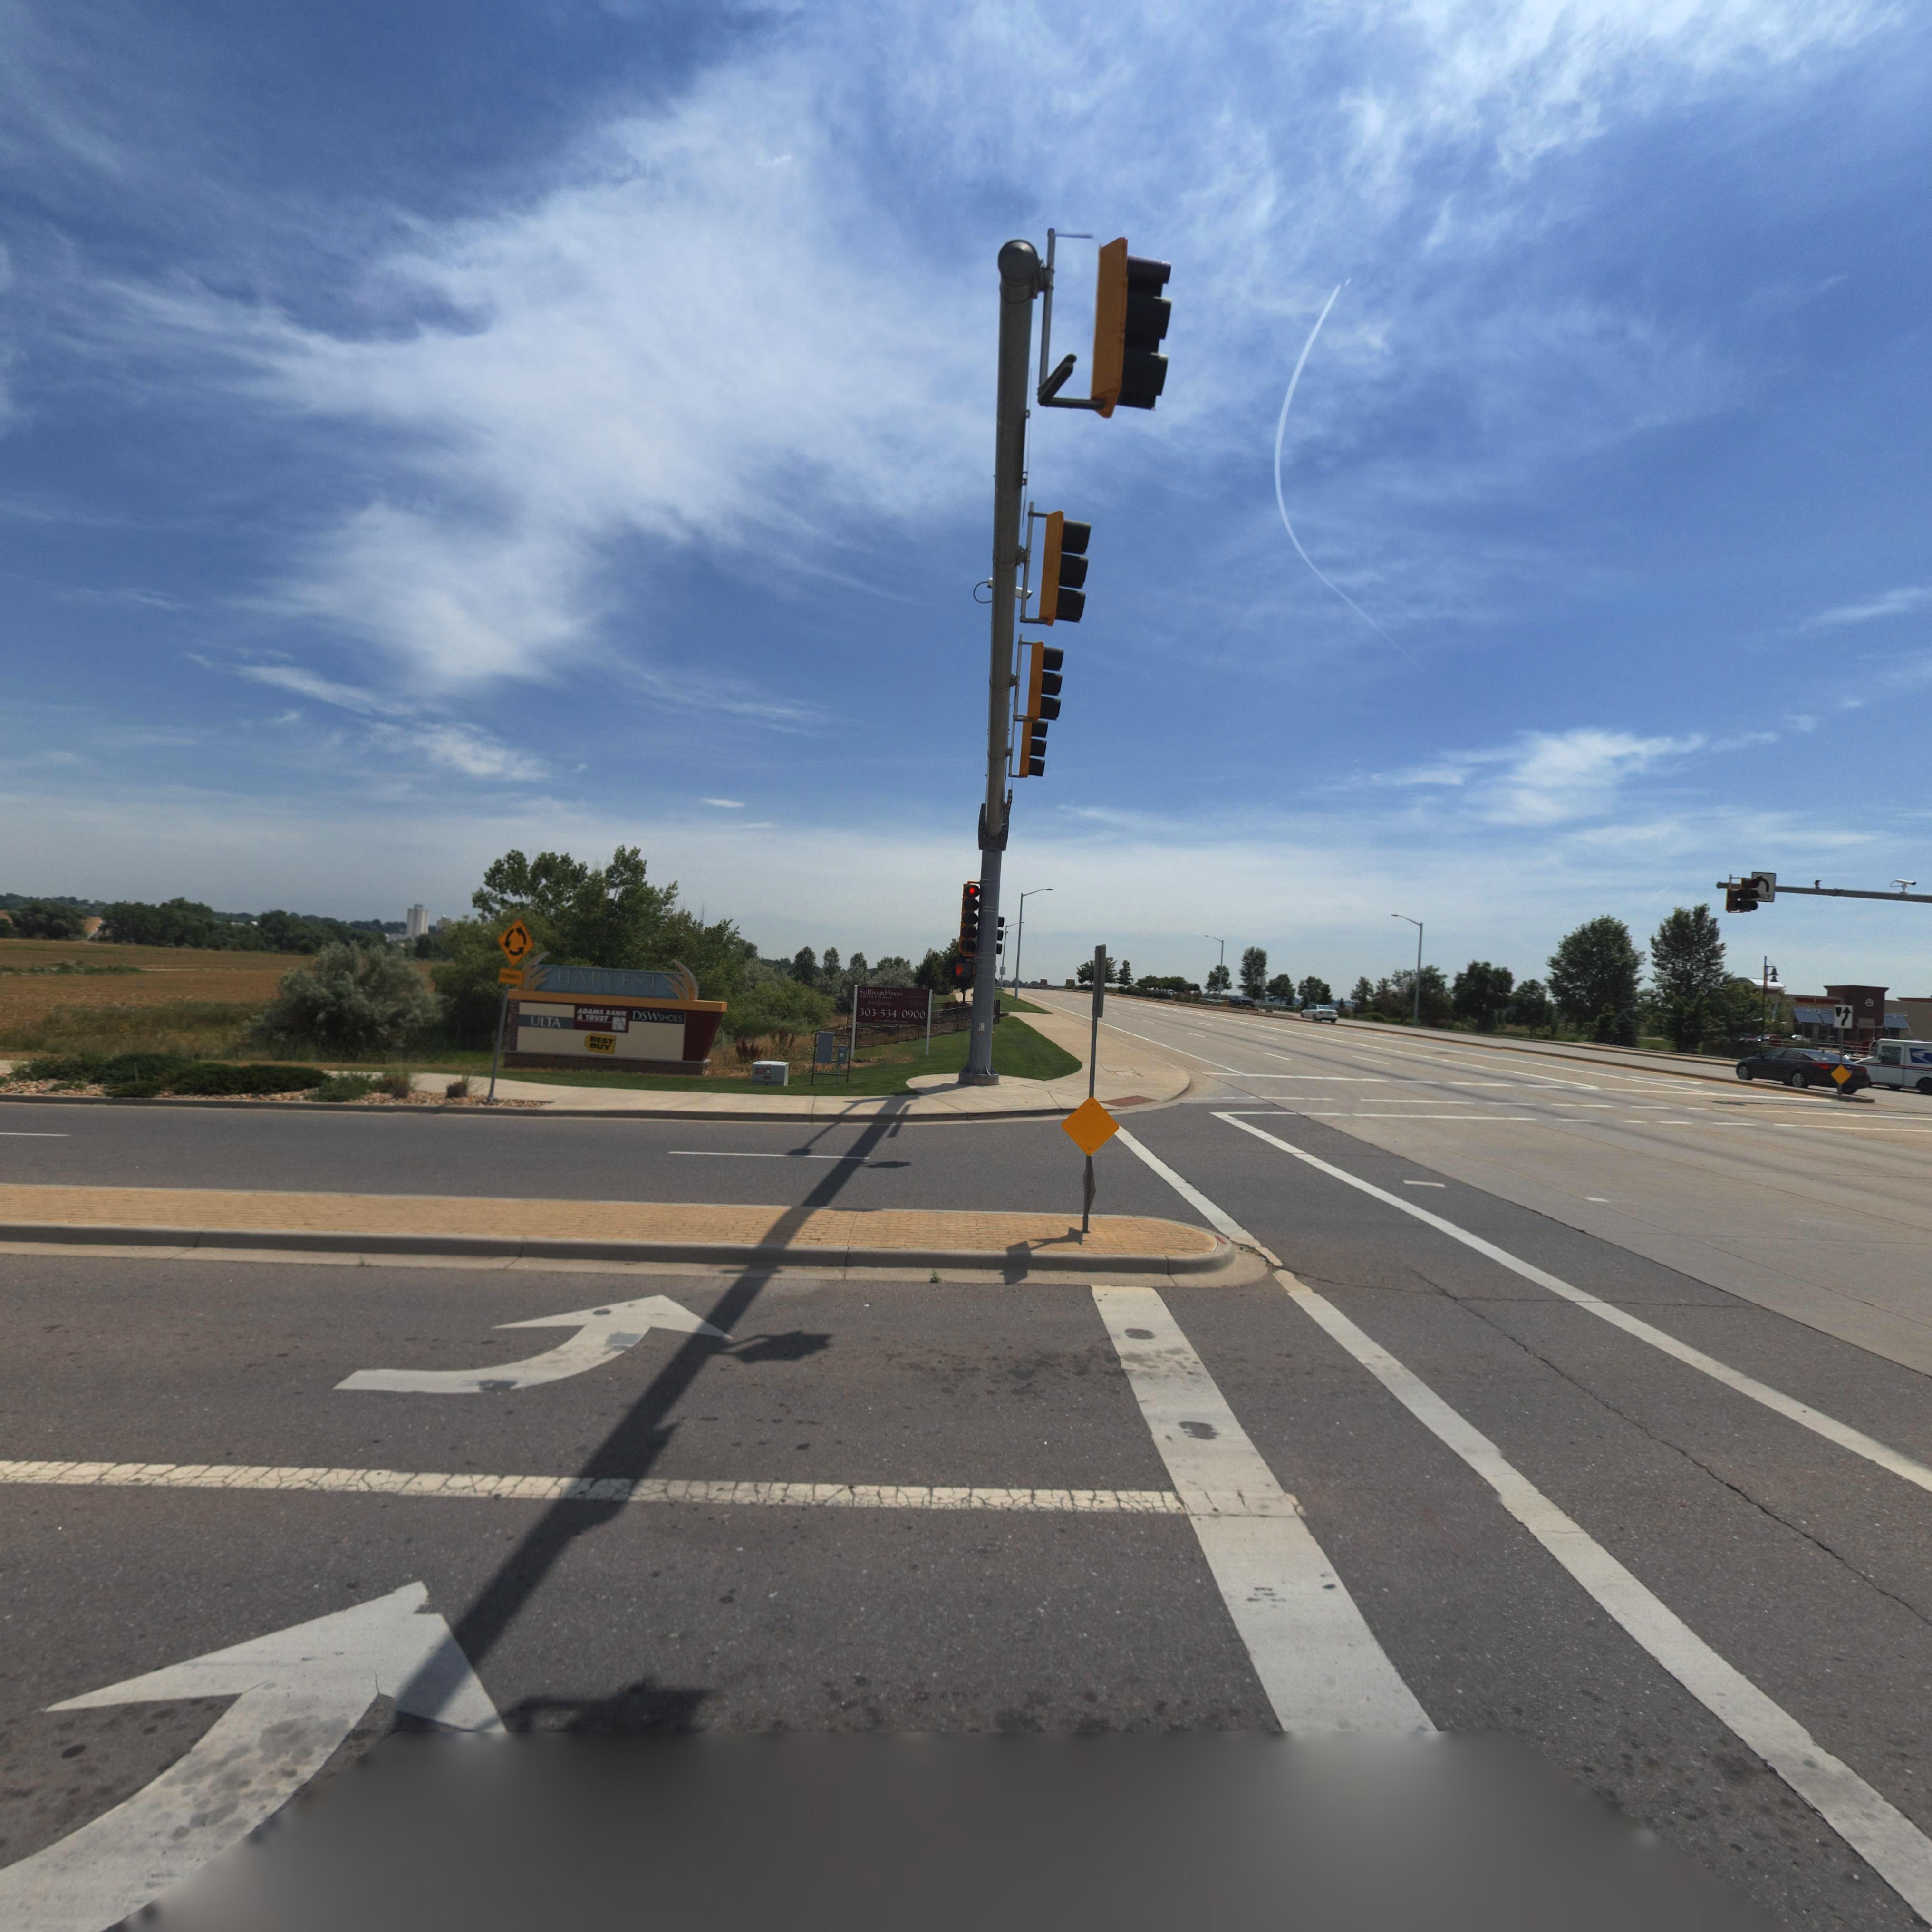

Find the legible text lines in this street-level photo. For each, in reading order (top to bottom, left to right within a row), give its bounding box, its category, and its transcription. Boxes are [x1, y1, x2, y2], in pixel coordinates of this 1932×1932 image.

[530, 1015, 561, 1028] BusinessName: ULTA
[577, 1014, 609, 1021] BusinessName: * TRUST
[576, 1007, 628, 1016] BusinessName: ADAMS BANK
[632, 1009, 683, 1023] BusinessName: DSW SHOES
[589, 1035, 614, 1045] BusinessName: BEST
[589, 1042, 611, 1050] BusinessName: BUY